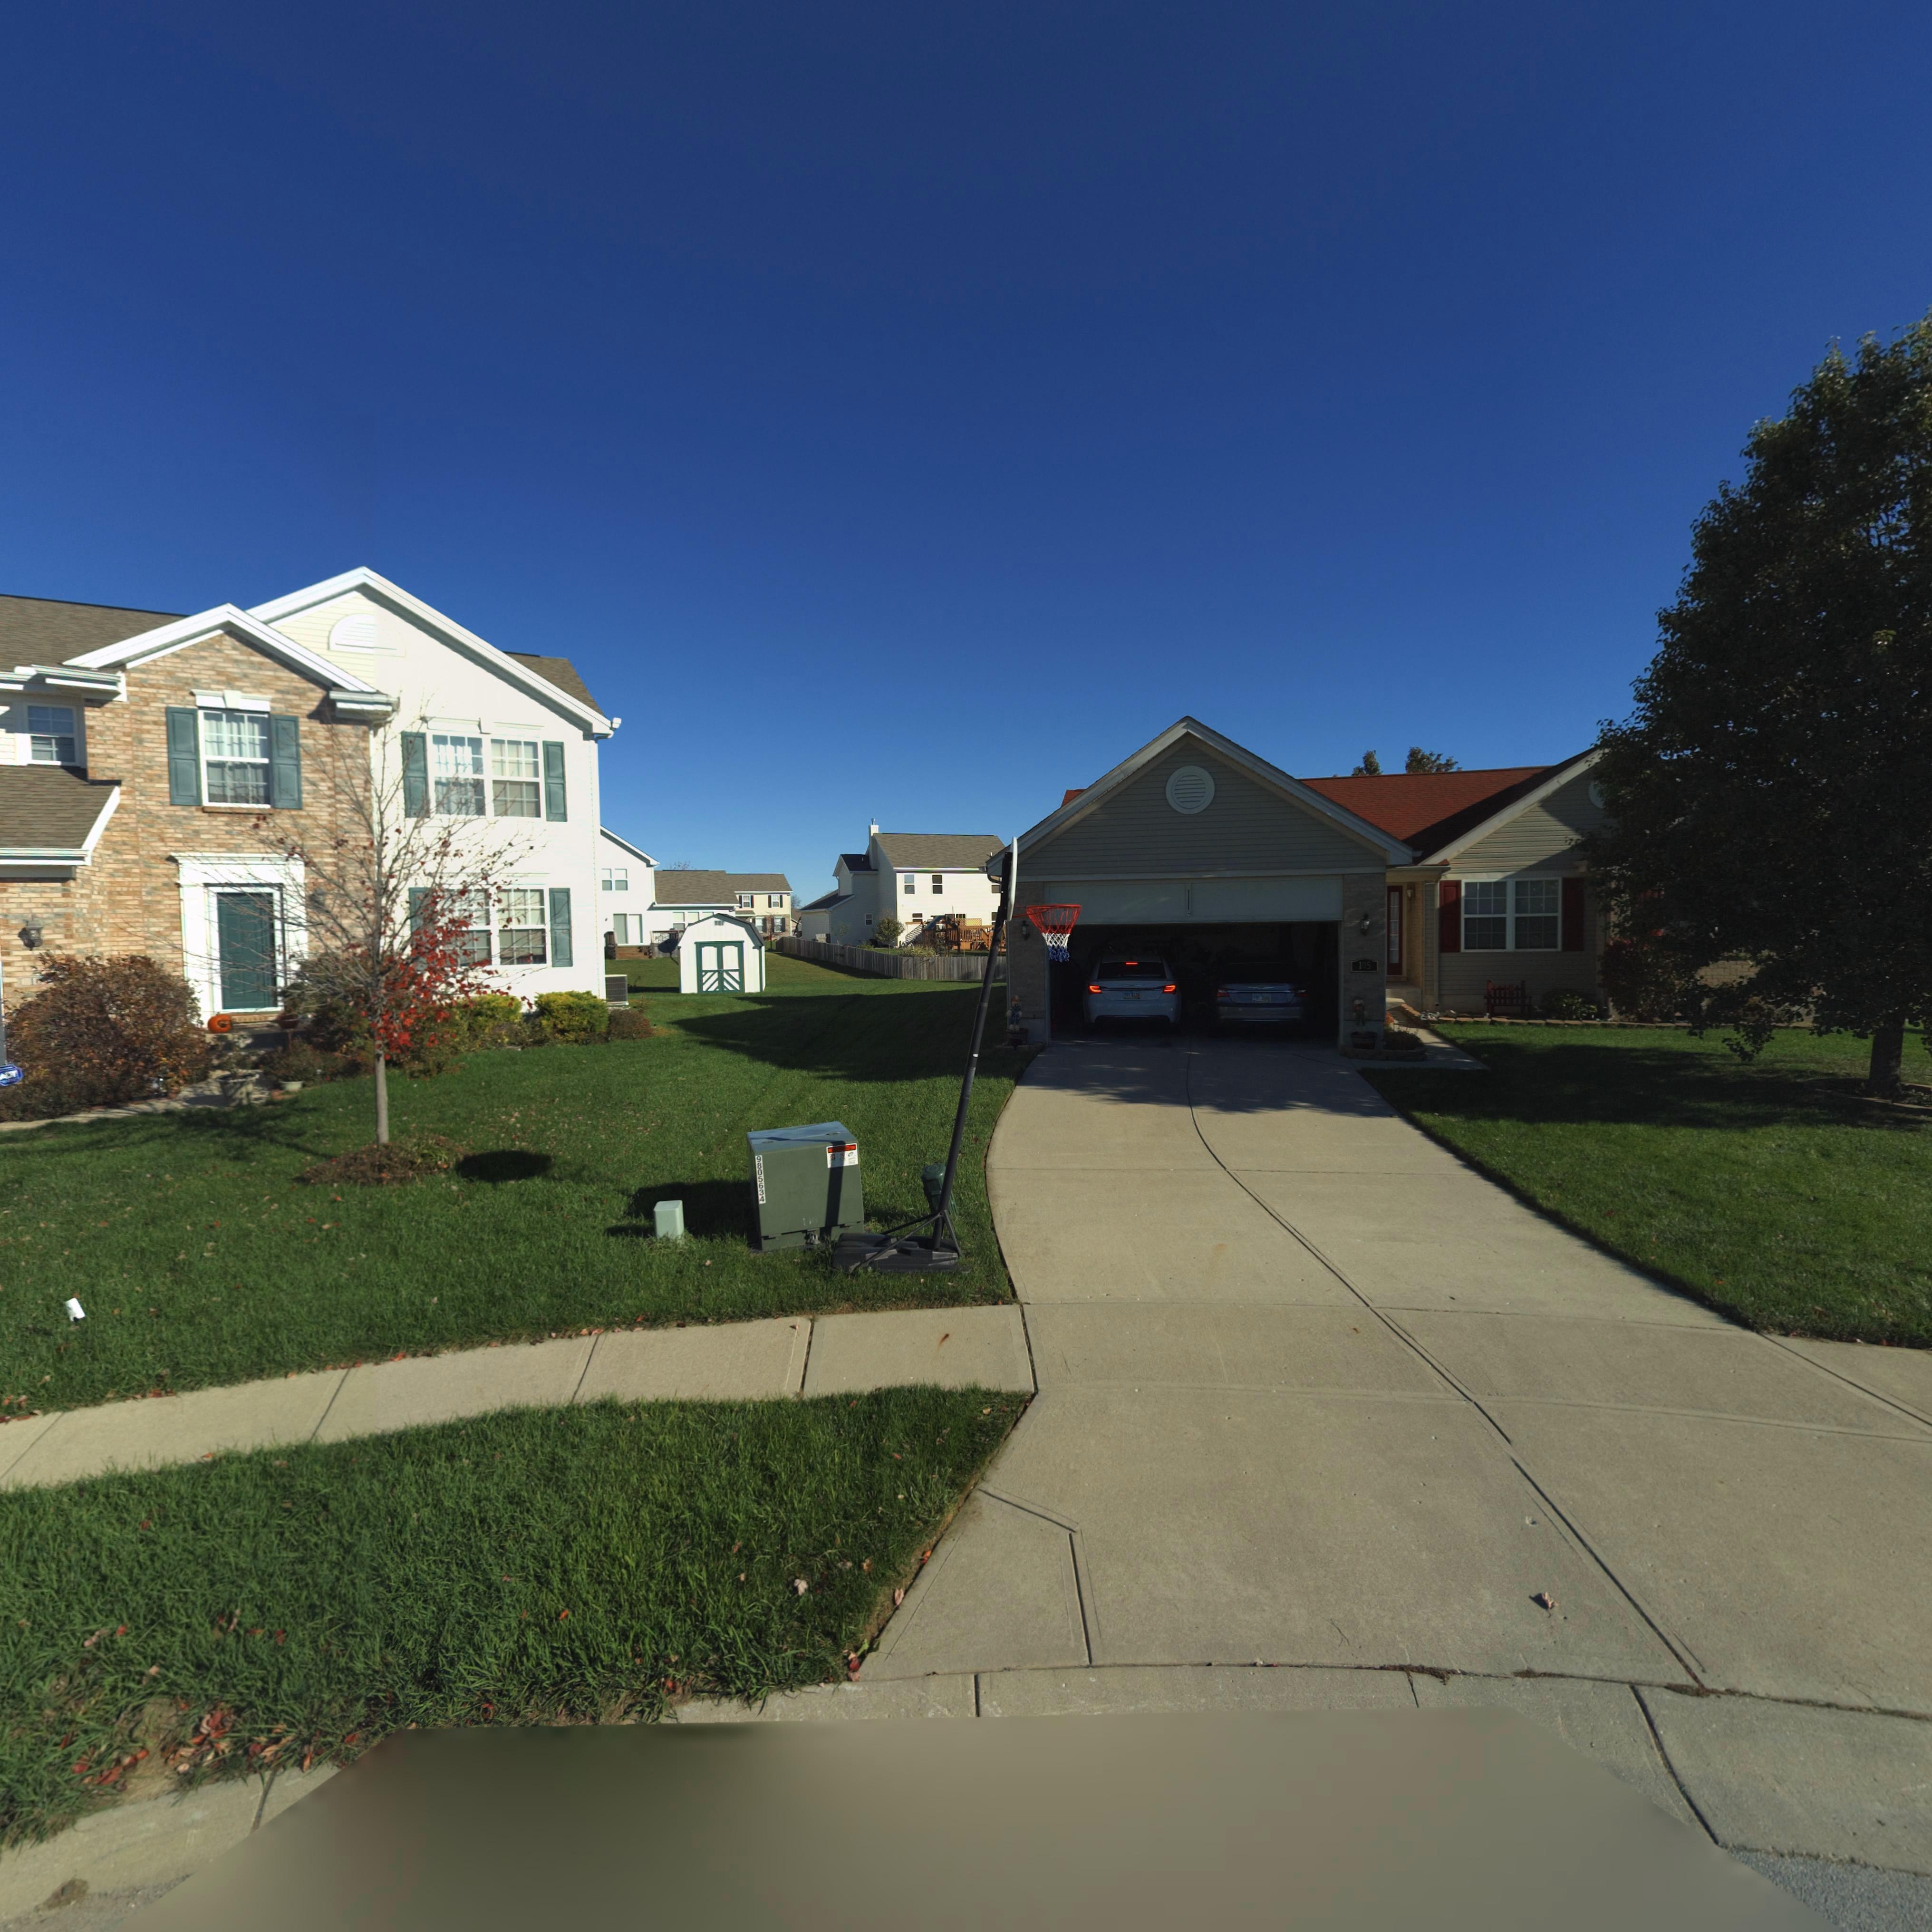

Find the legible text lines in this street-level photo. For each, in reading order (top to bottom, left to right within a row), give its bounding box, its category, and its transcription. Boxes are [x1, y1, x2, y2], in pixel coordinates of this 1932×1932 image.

[1359, 961, 1371, 970] StreetNumber: 105